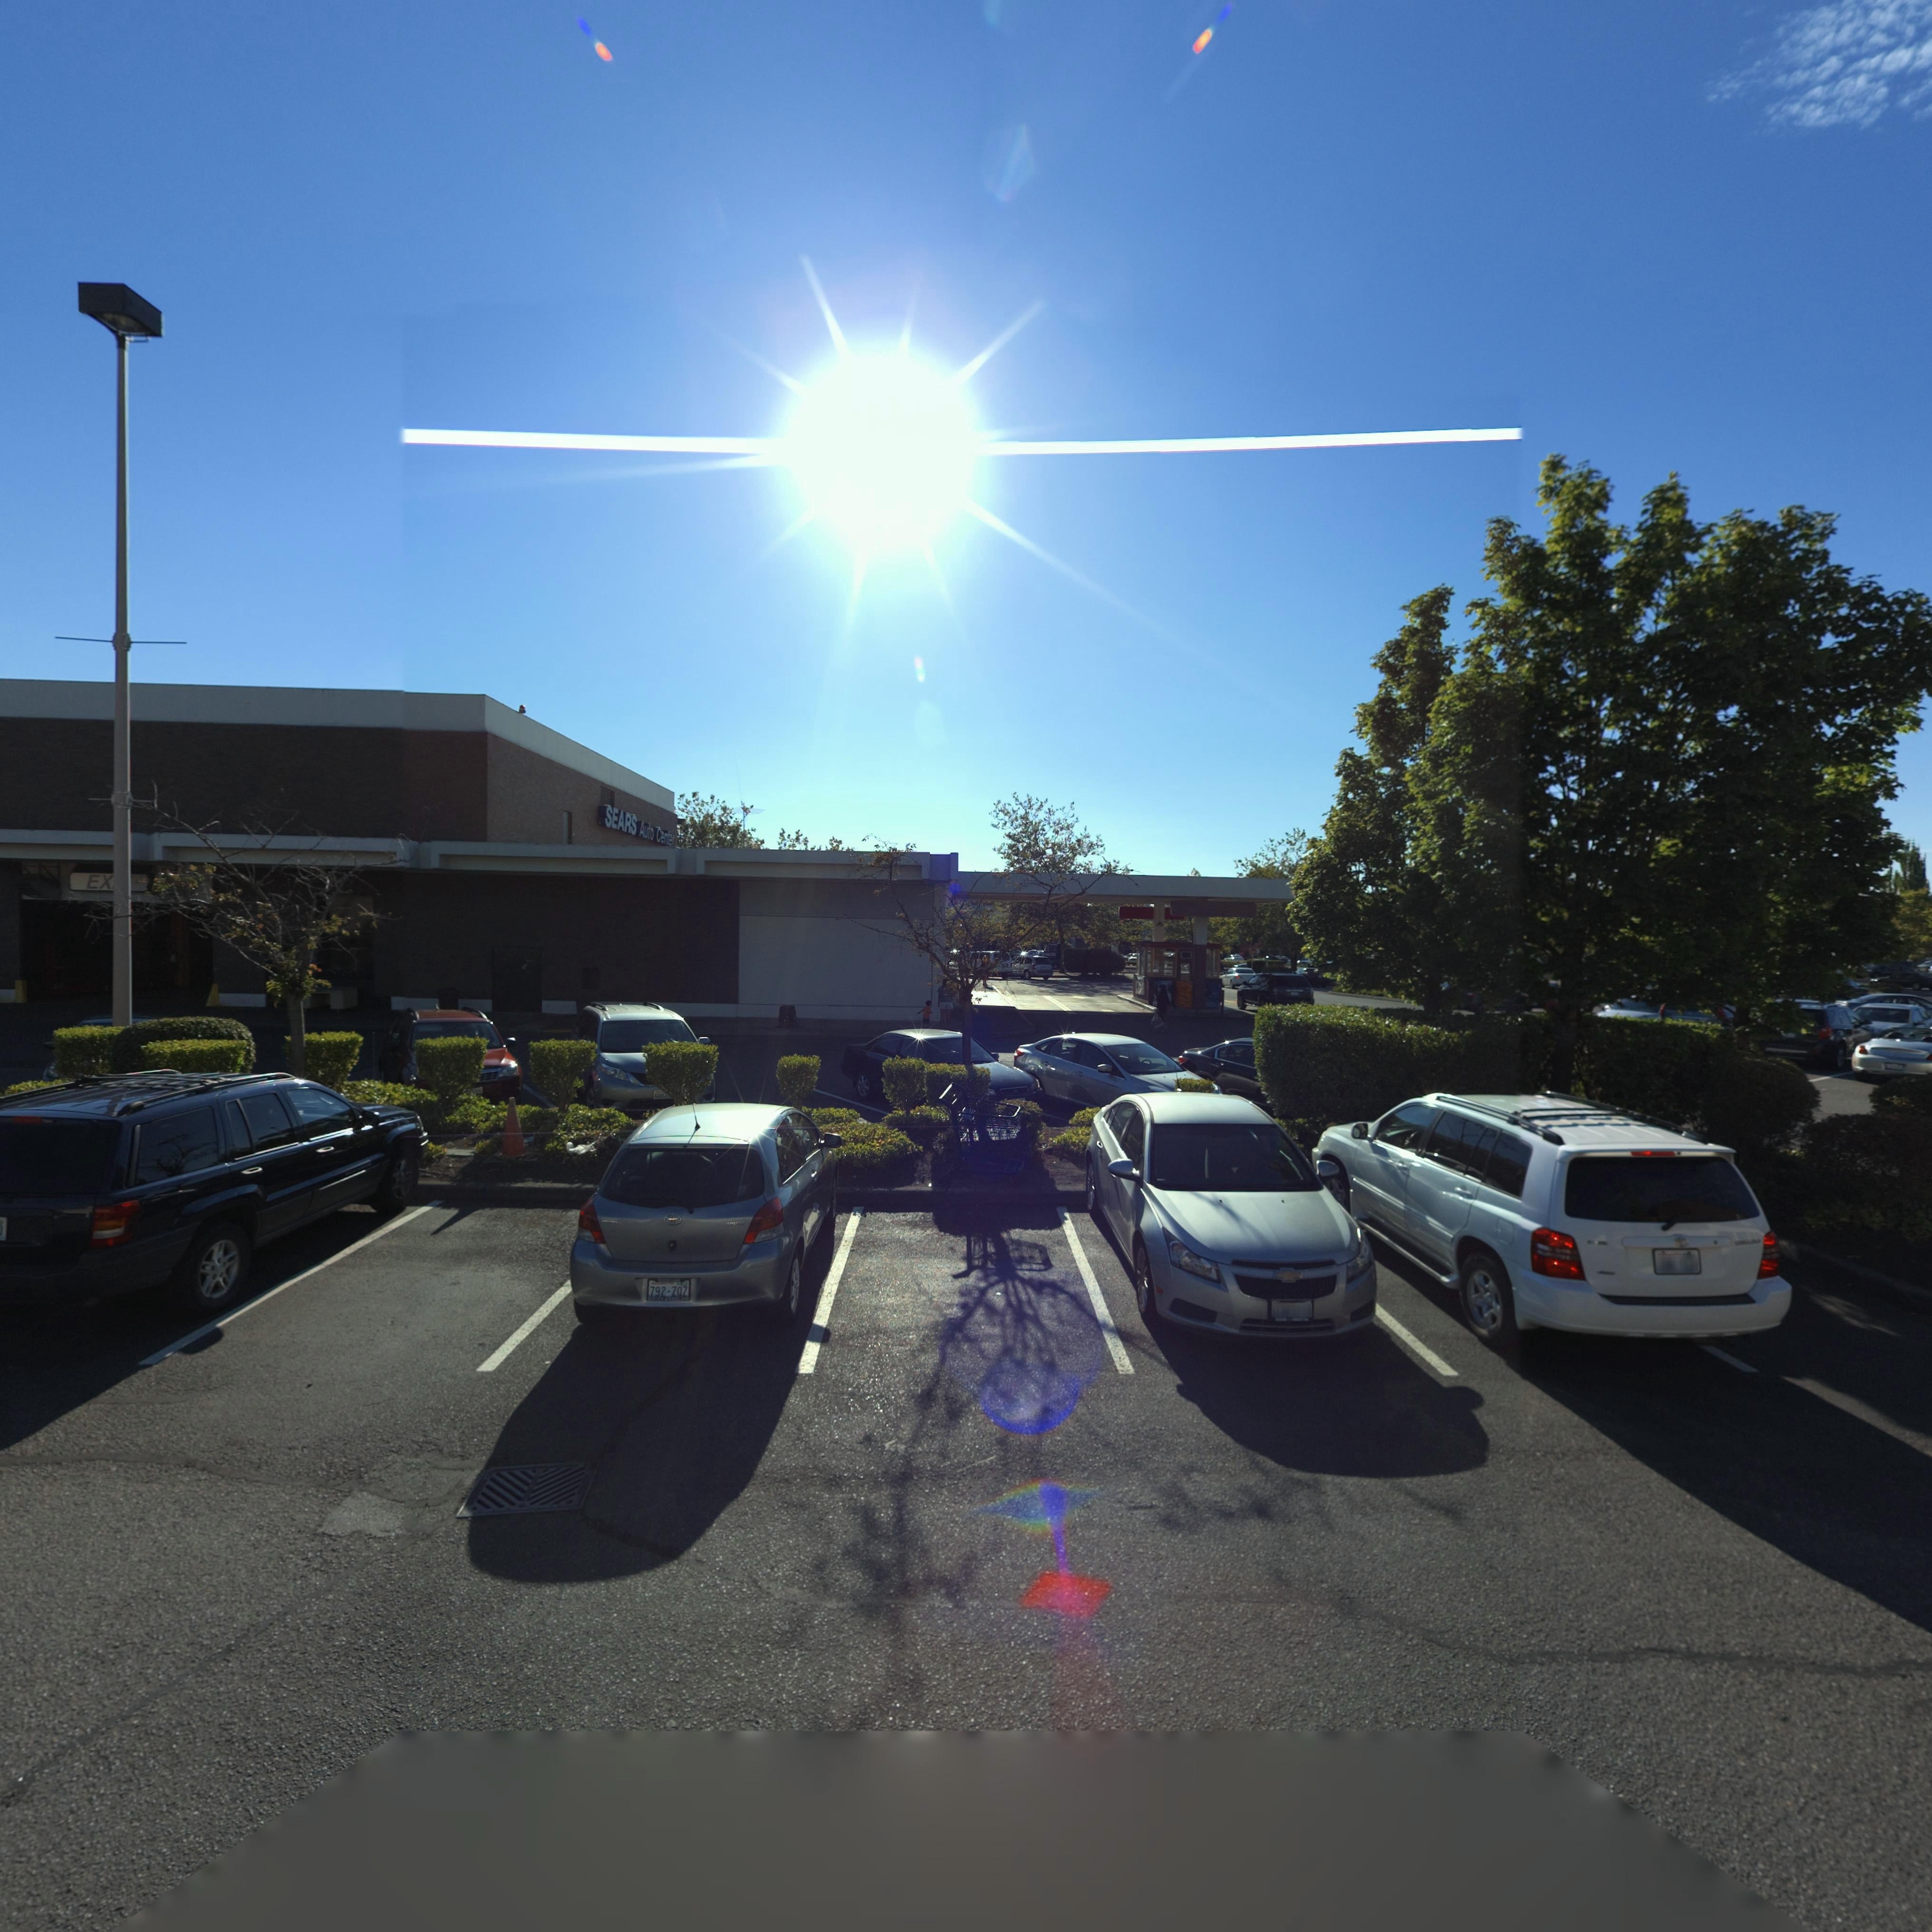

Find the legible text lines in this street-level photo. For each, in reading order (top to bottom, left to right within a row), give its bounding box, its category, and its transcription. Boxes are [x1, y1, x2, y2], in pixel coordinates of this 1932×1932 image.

[602, 803, 638, 836] BusinessName: SEARS
[637, 819, 676, 849] None: Auto Center
[85, 874, 112, 890] None: EX